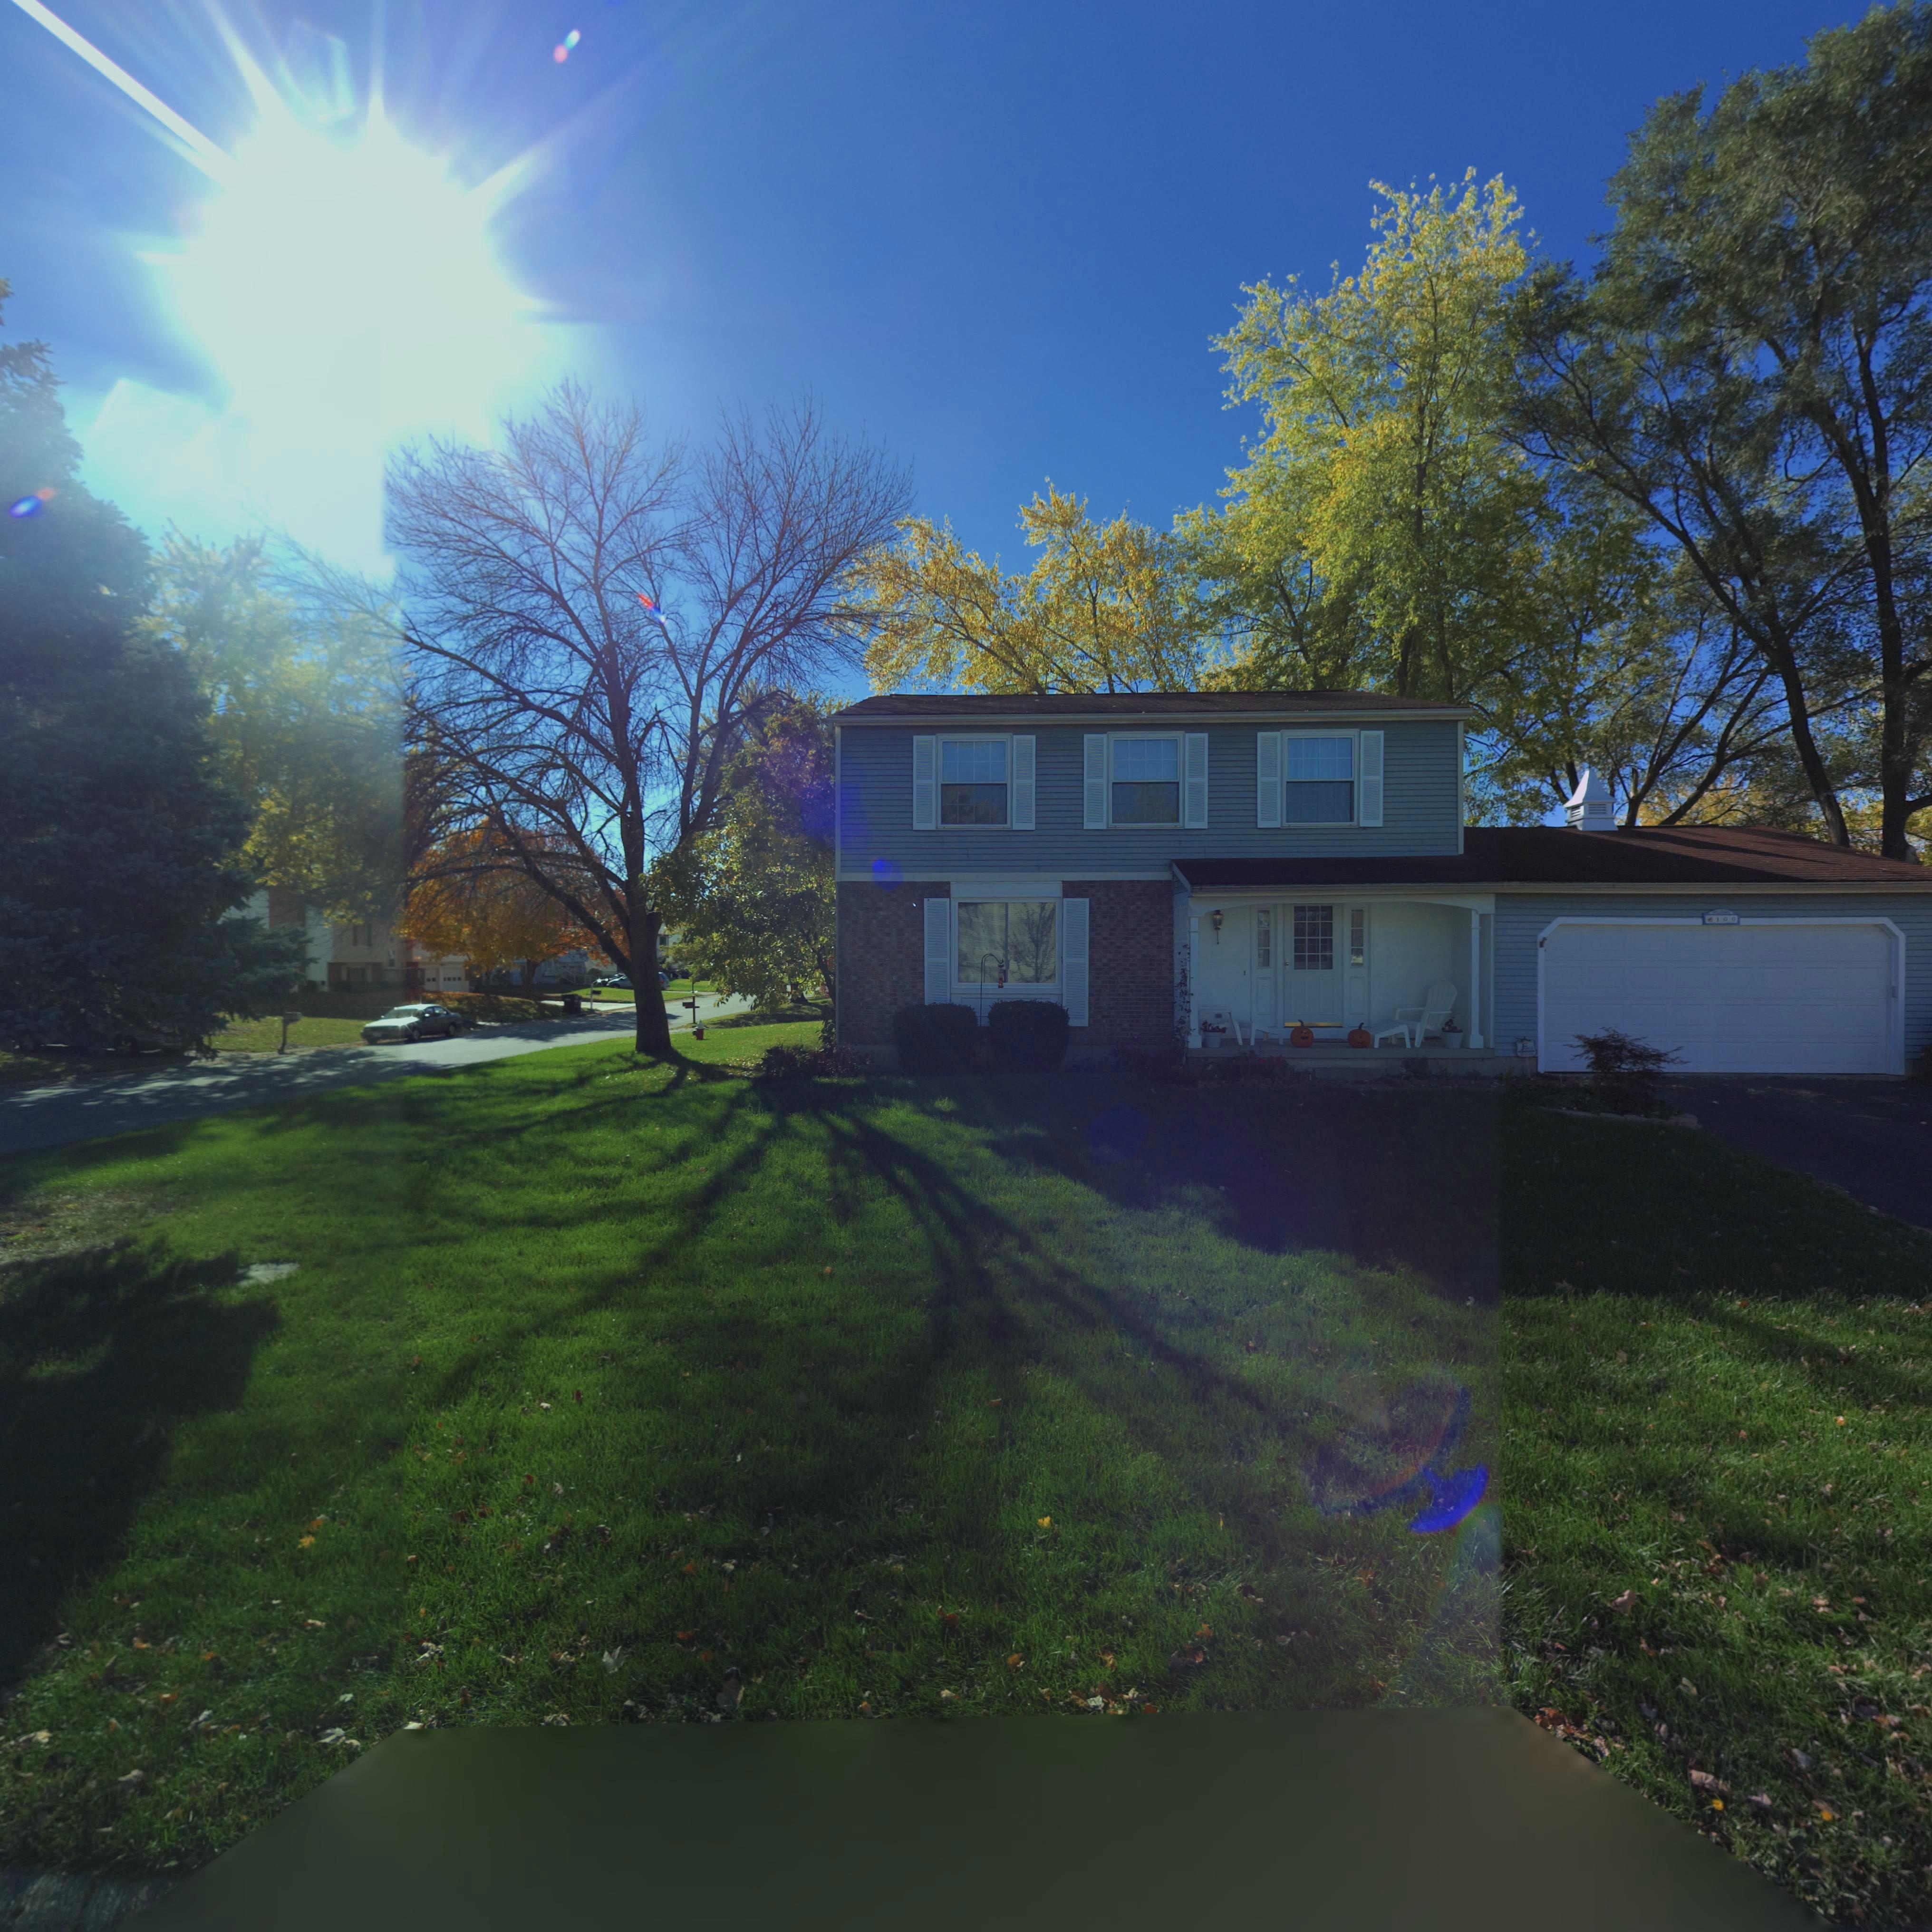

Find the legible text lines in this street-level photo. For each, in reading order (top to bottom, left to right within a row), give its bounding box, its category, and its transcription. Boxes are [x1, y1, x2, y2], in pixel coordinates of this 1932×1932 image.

[1706, 916, 1737, 923] StreetNumber: *100